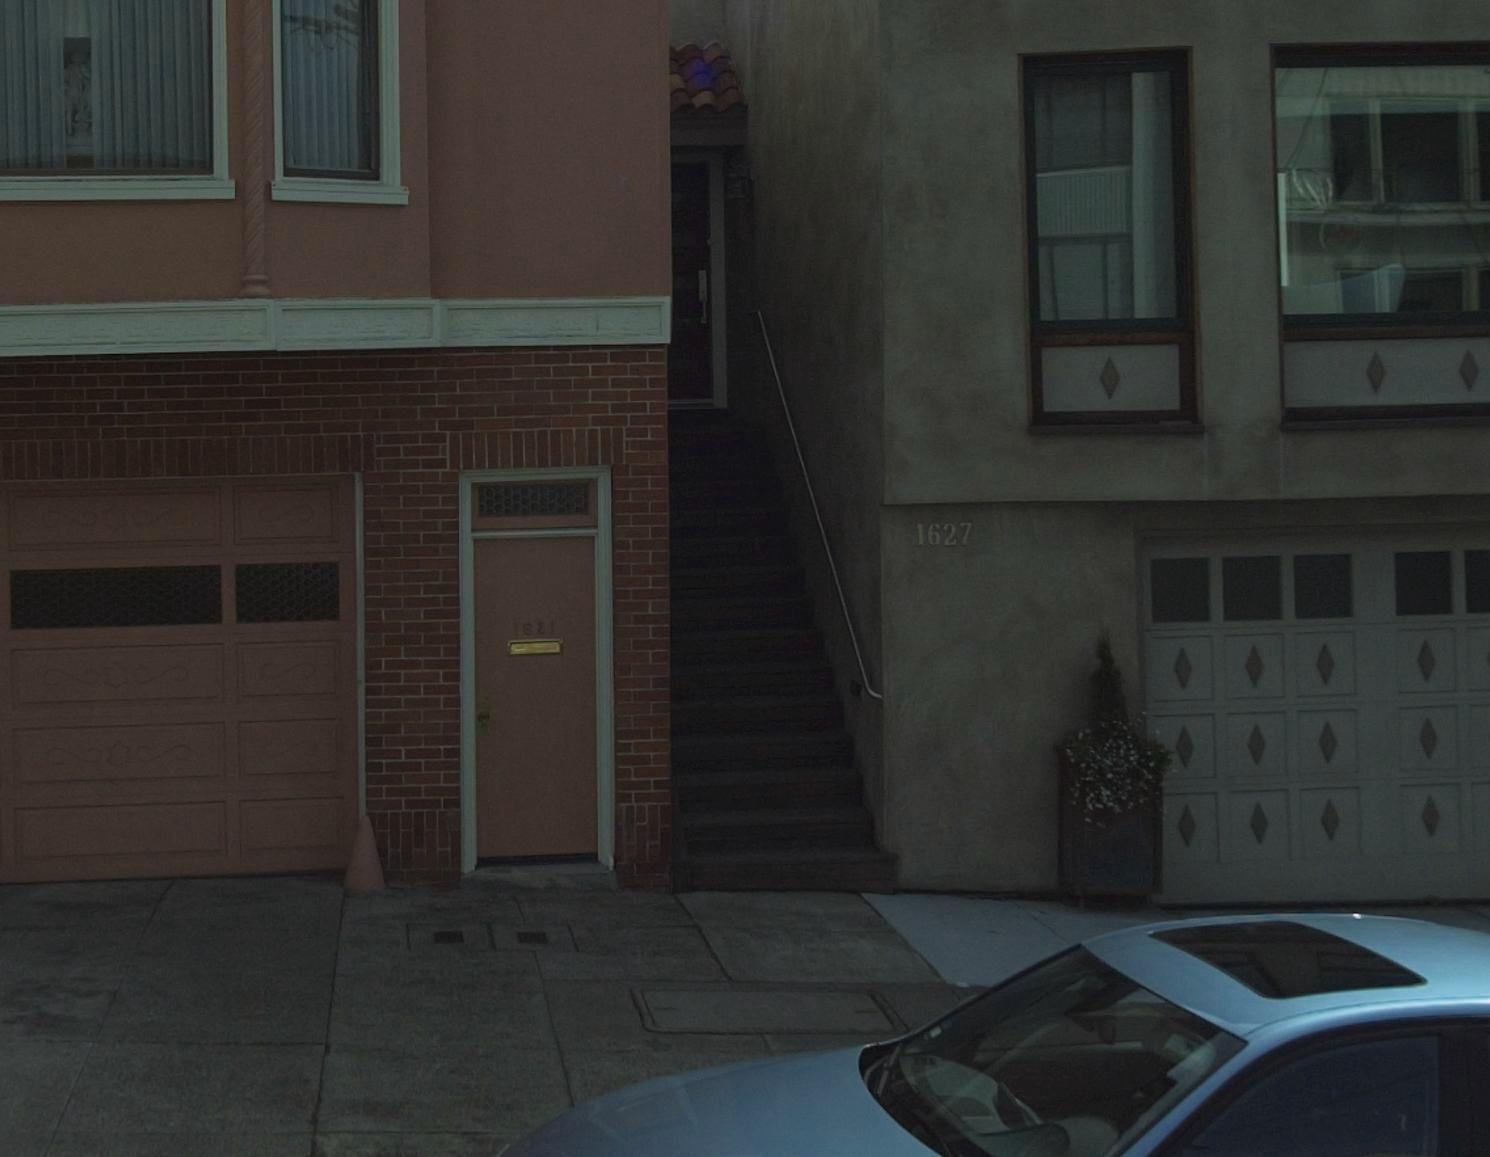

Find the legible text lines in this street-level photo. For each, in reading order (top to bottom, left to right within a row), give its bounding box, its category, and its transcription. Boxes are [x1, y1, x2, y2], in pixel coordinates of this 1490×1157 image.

[914, 519, 976, 551] StreetNumber: 1627
[511, 616, 558, 640] StreetNumber: 162*